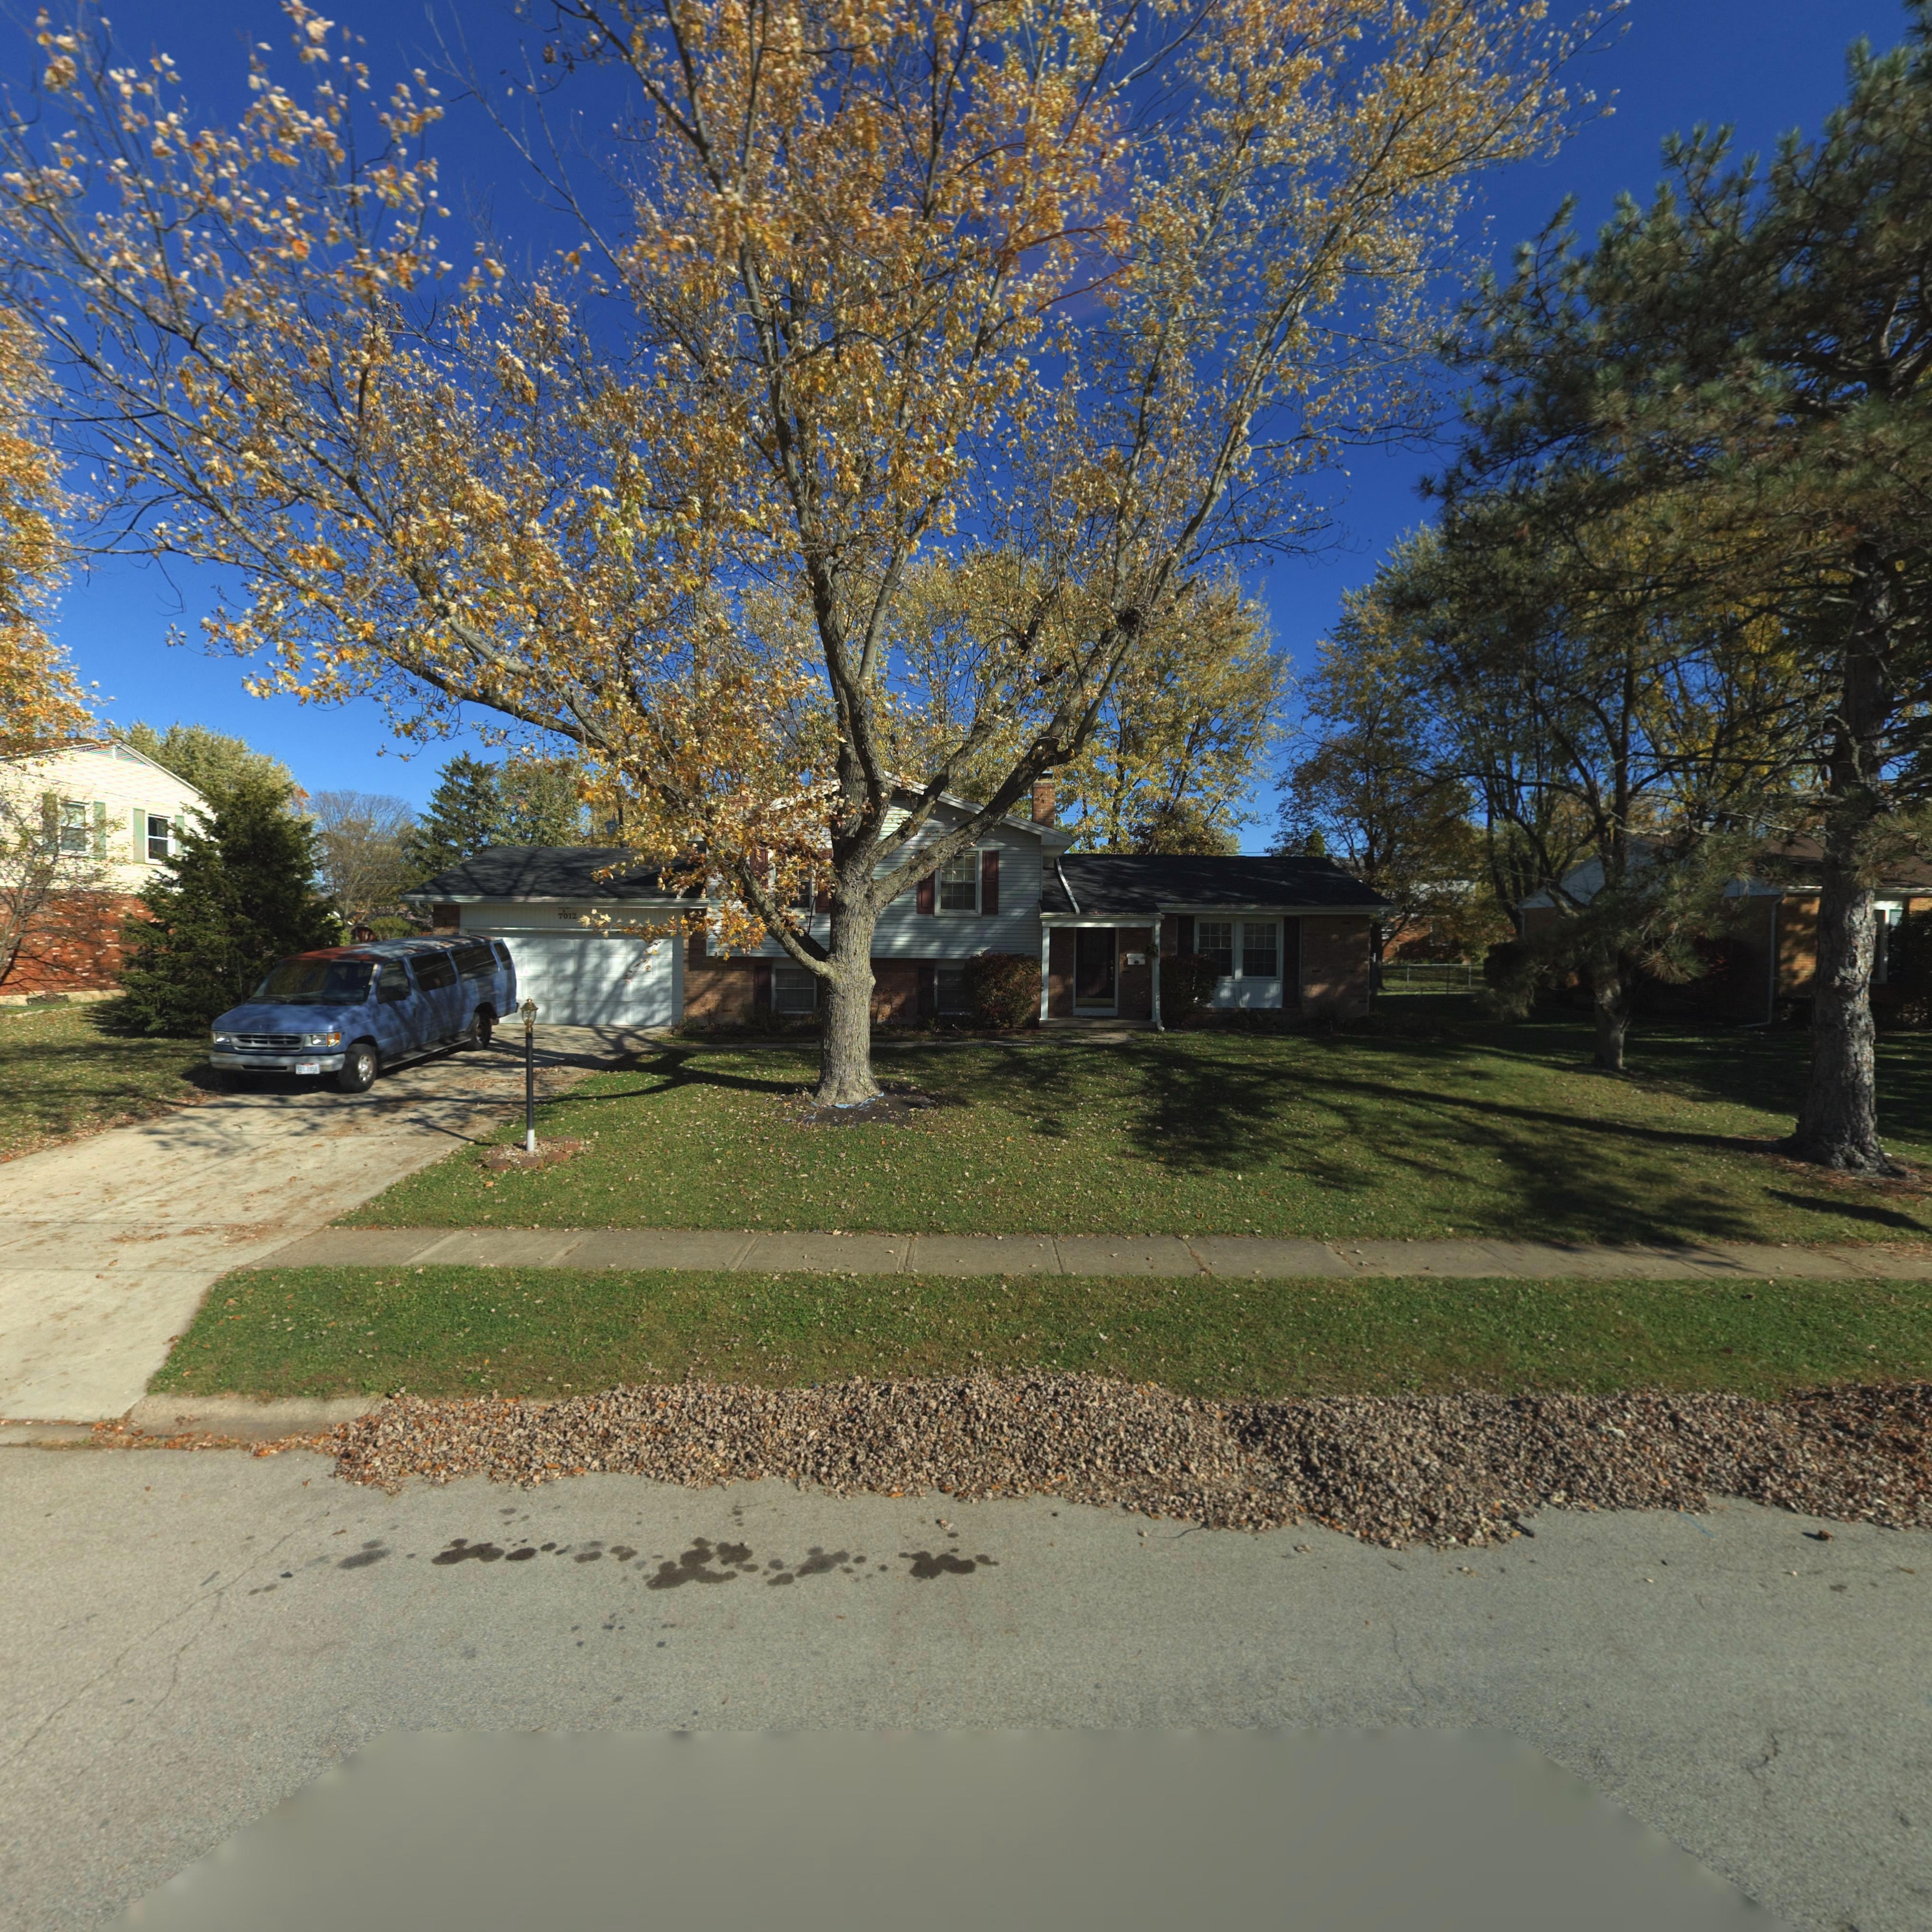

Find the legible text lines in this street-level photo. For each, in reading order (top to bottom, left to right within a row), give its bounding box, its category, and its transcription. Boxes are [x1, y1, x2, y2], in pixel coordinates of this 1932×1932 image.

[557, 912, 578, 920] StreetNumber: 7012
[306, 1065, 318, 1072] None: 2*51